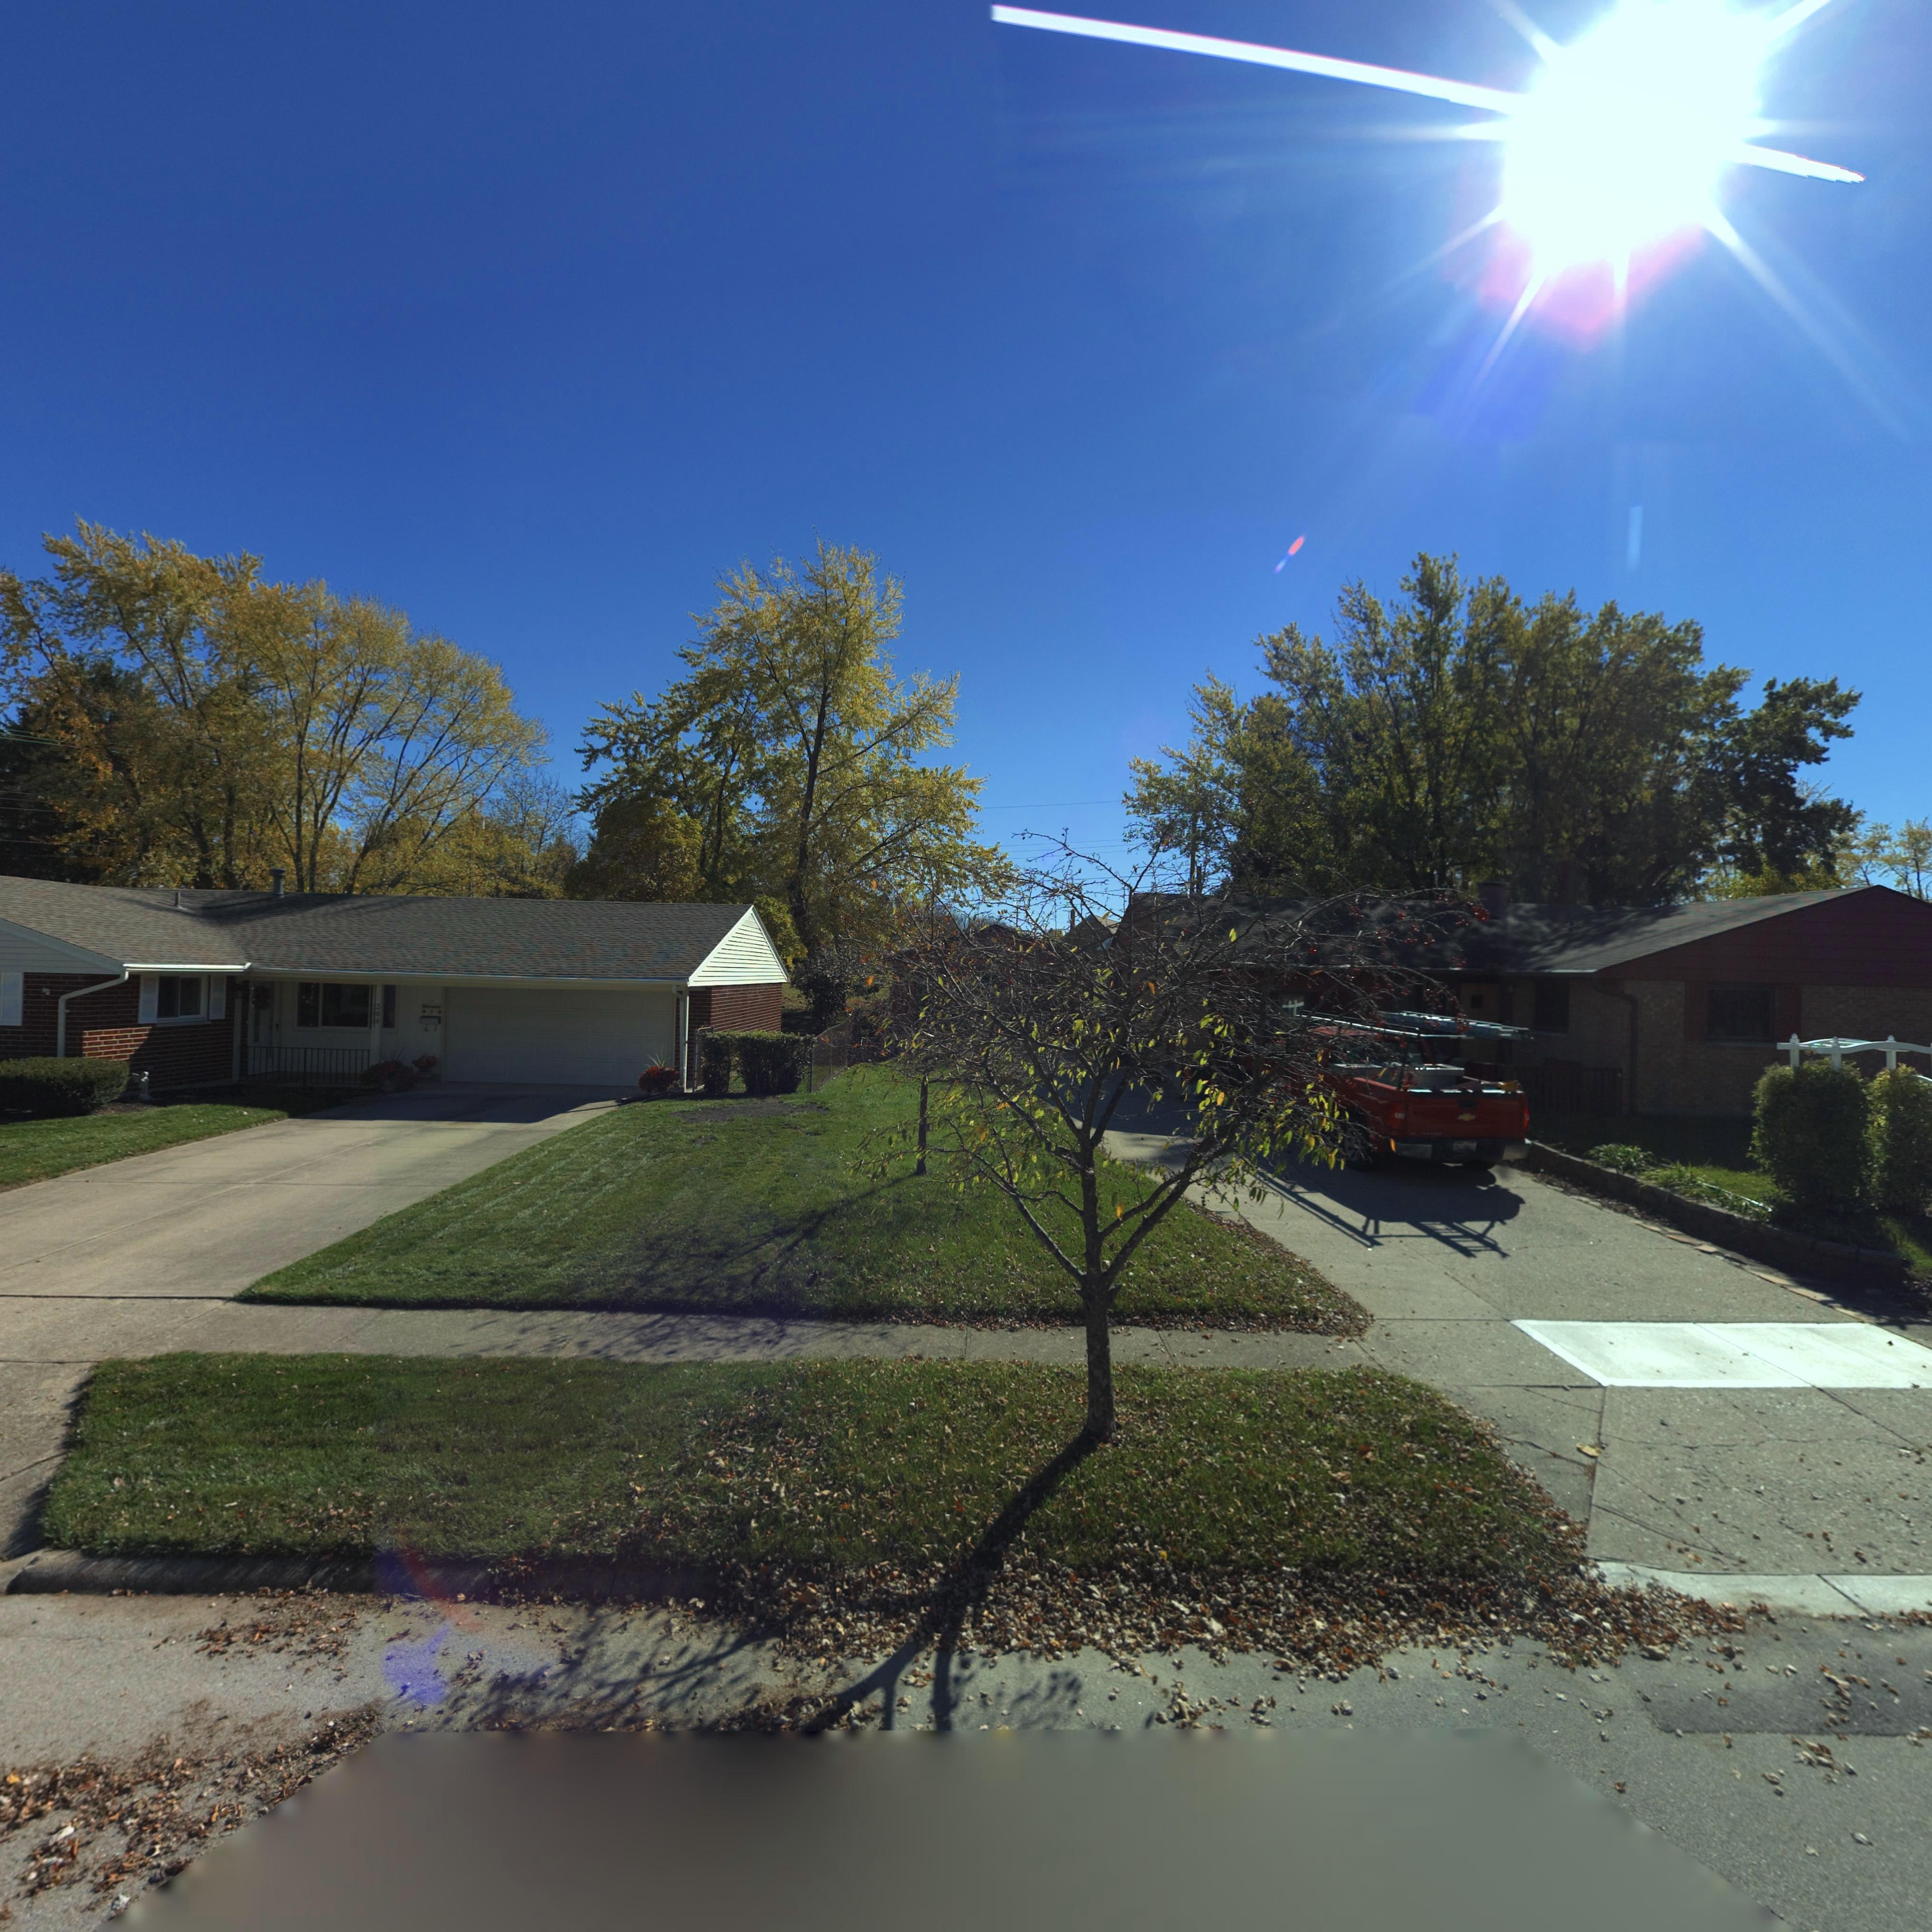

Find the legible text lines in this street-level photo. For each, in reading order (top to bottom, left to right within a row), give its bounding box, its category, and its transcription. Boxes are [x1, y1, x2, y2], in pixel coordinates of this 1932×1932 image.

[375, 1003, 381, 1025] StreetNumber: 308